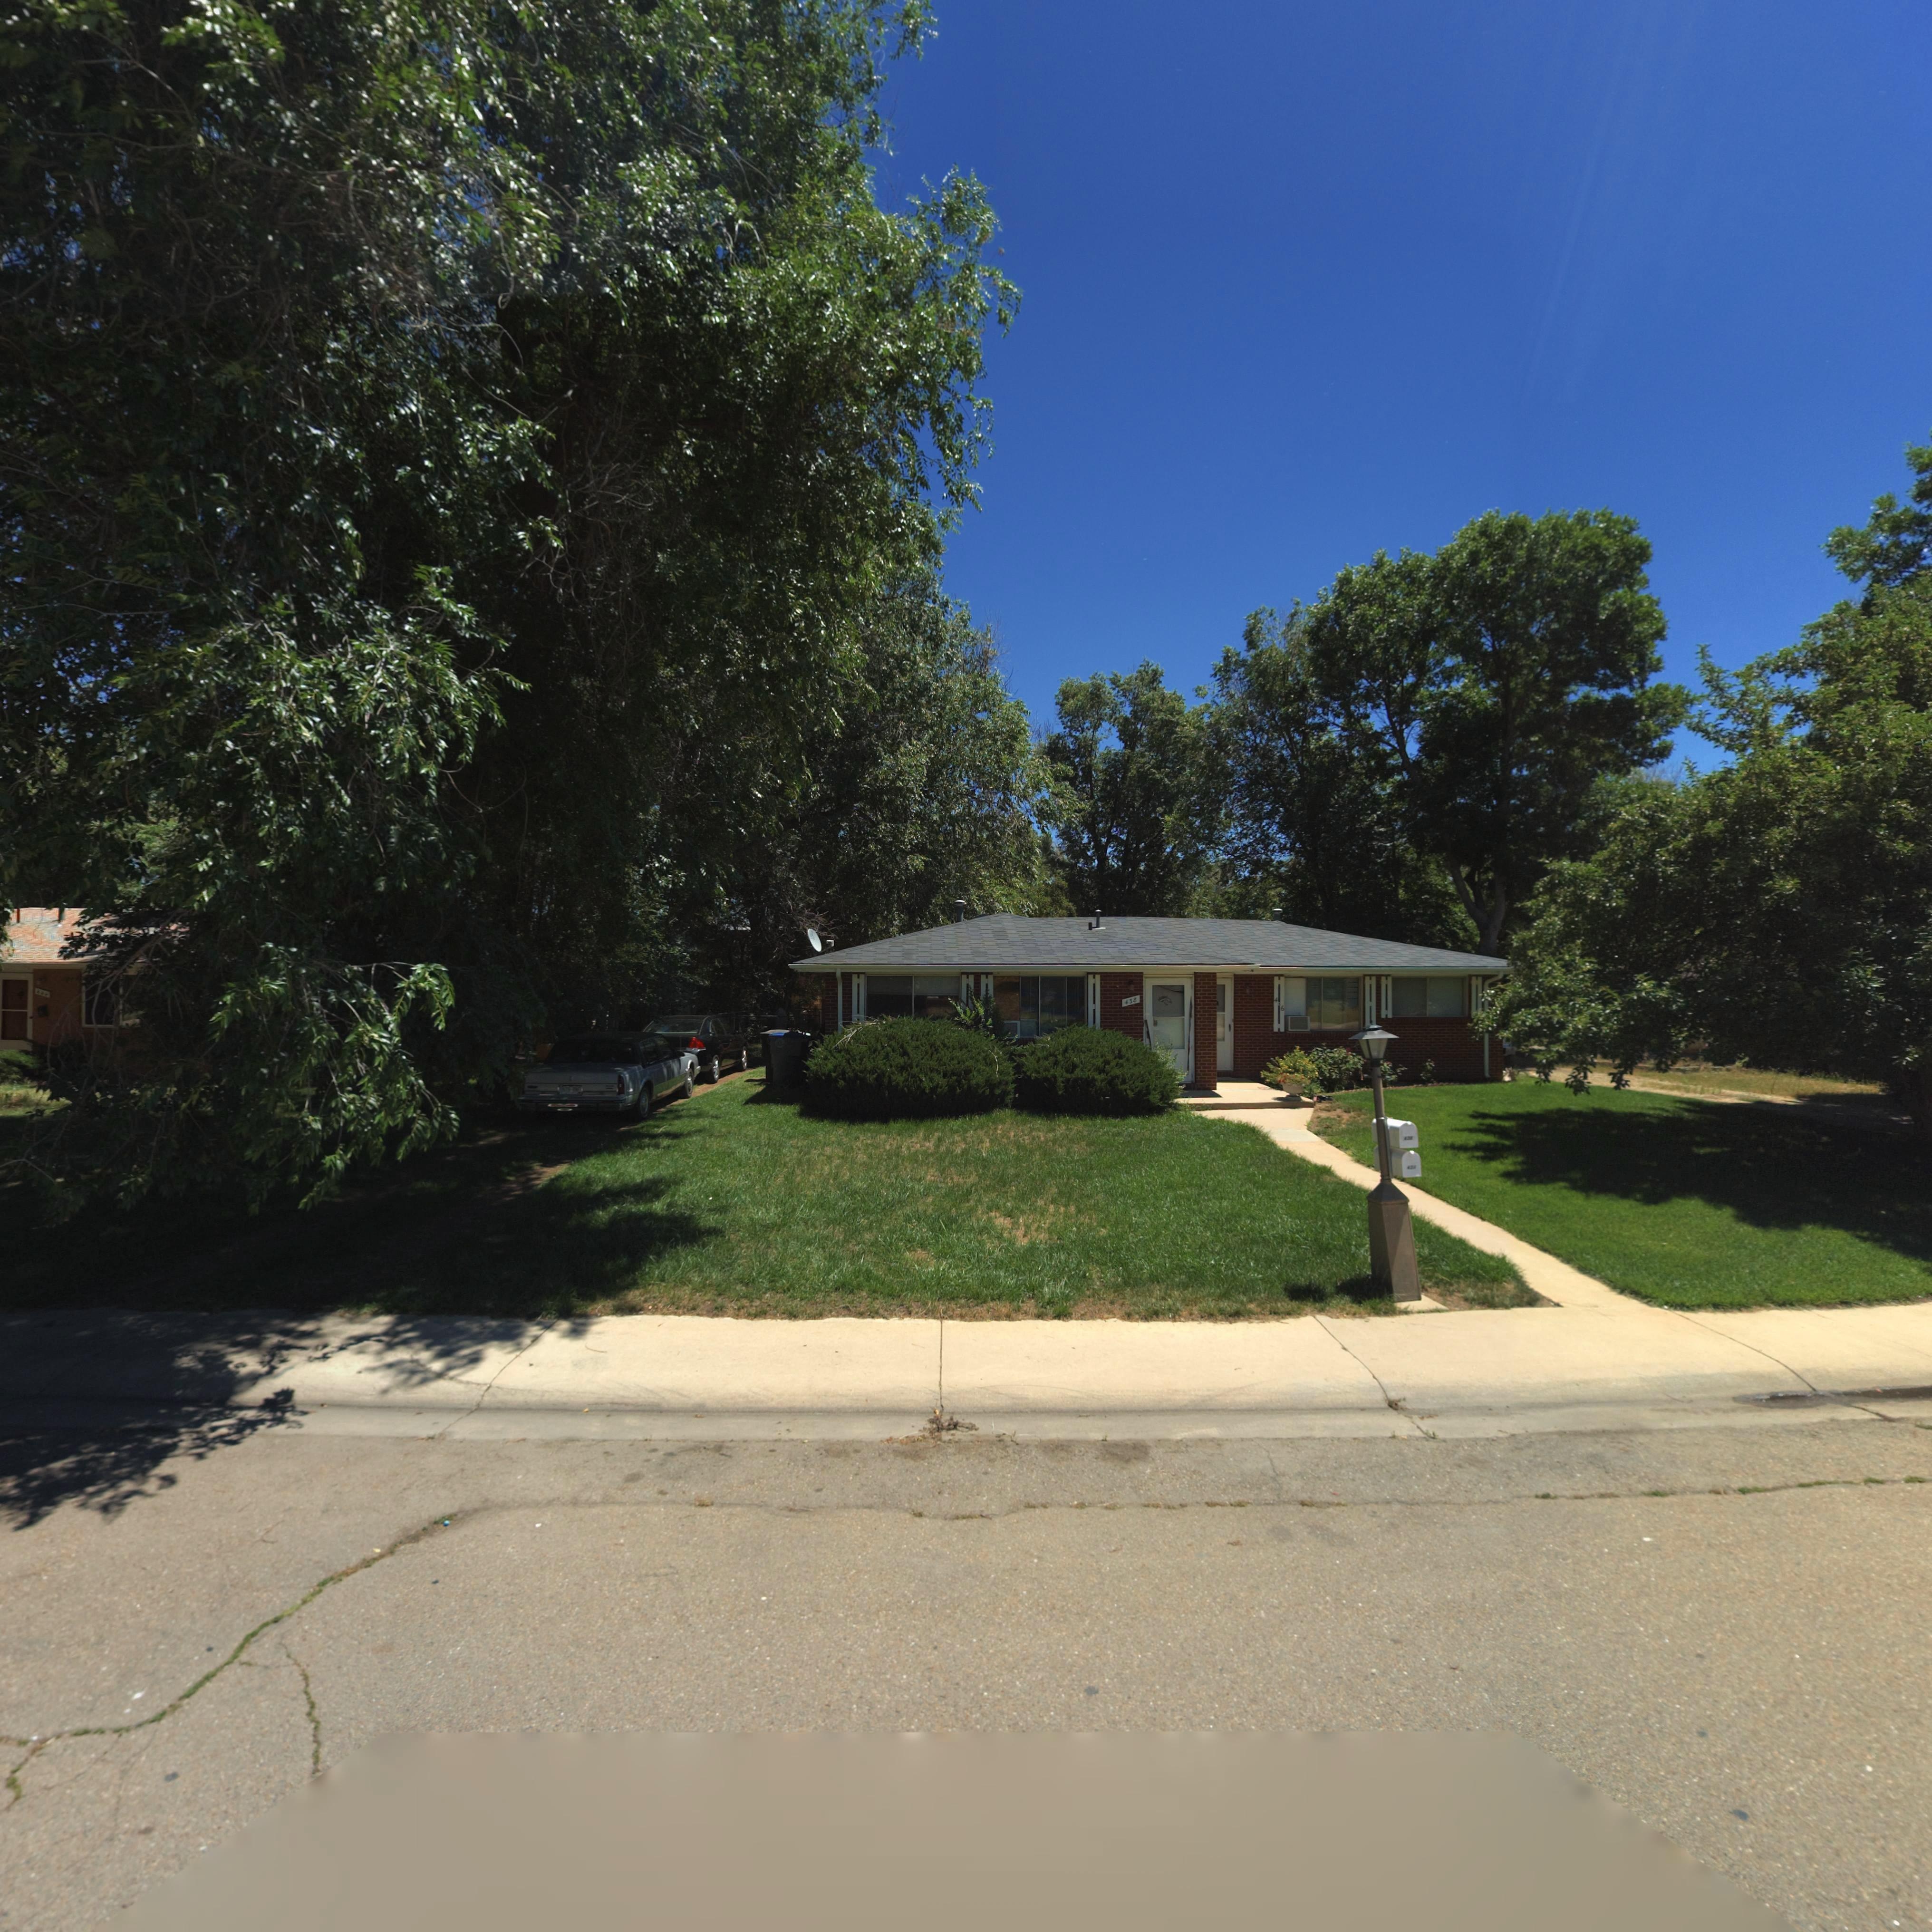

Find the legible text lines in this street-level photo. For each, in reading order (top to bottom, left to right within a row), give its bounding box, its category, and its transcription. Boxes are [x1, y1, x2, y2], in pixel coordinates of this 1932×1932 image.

[1124, 997, 1137, 1005] StreetNumber: 4**
[1273, 997, 1285, 1011] StreetNumber: 4*6
[1403, 1136, 1413, 1140] StreetNumber: 43*
[1406, 1165, 1416, 1169] StreetNumber: 43*